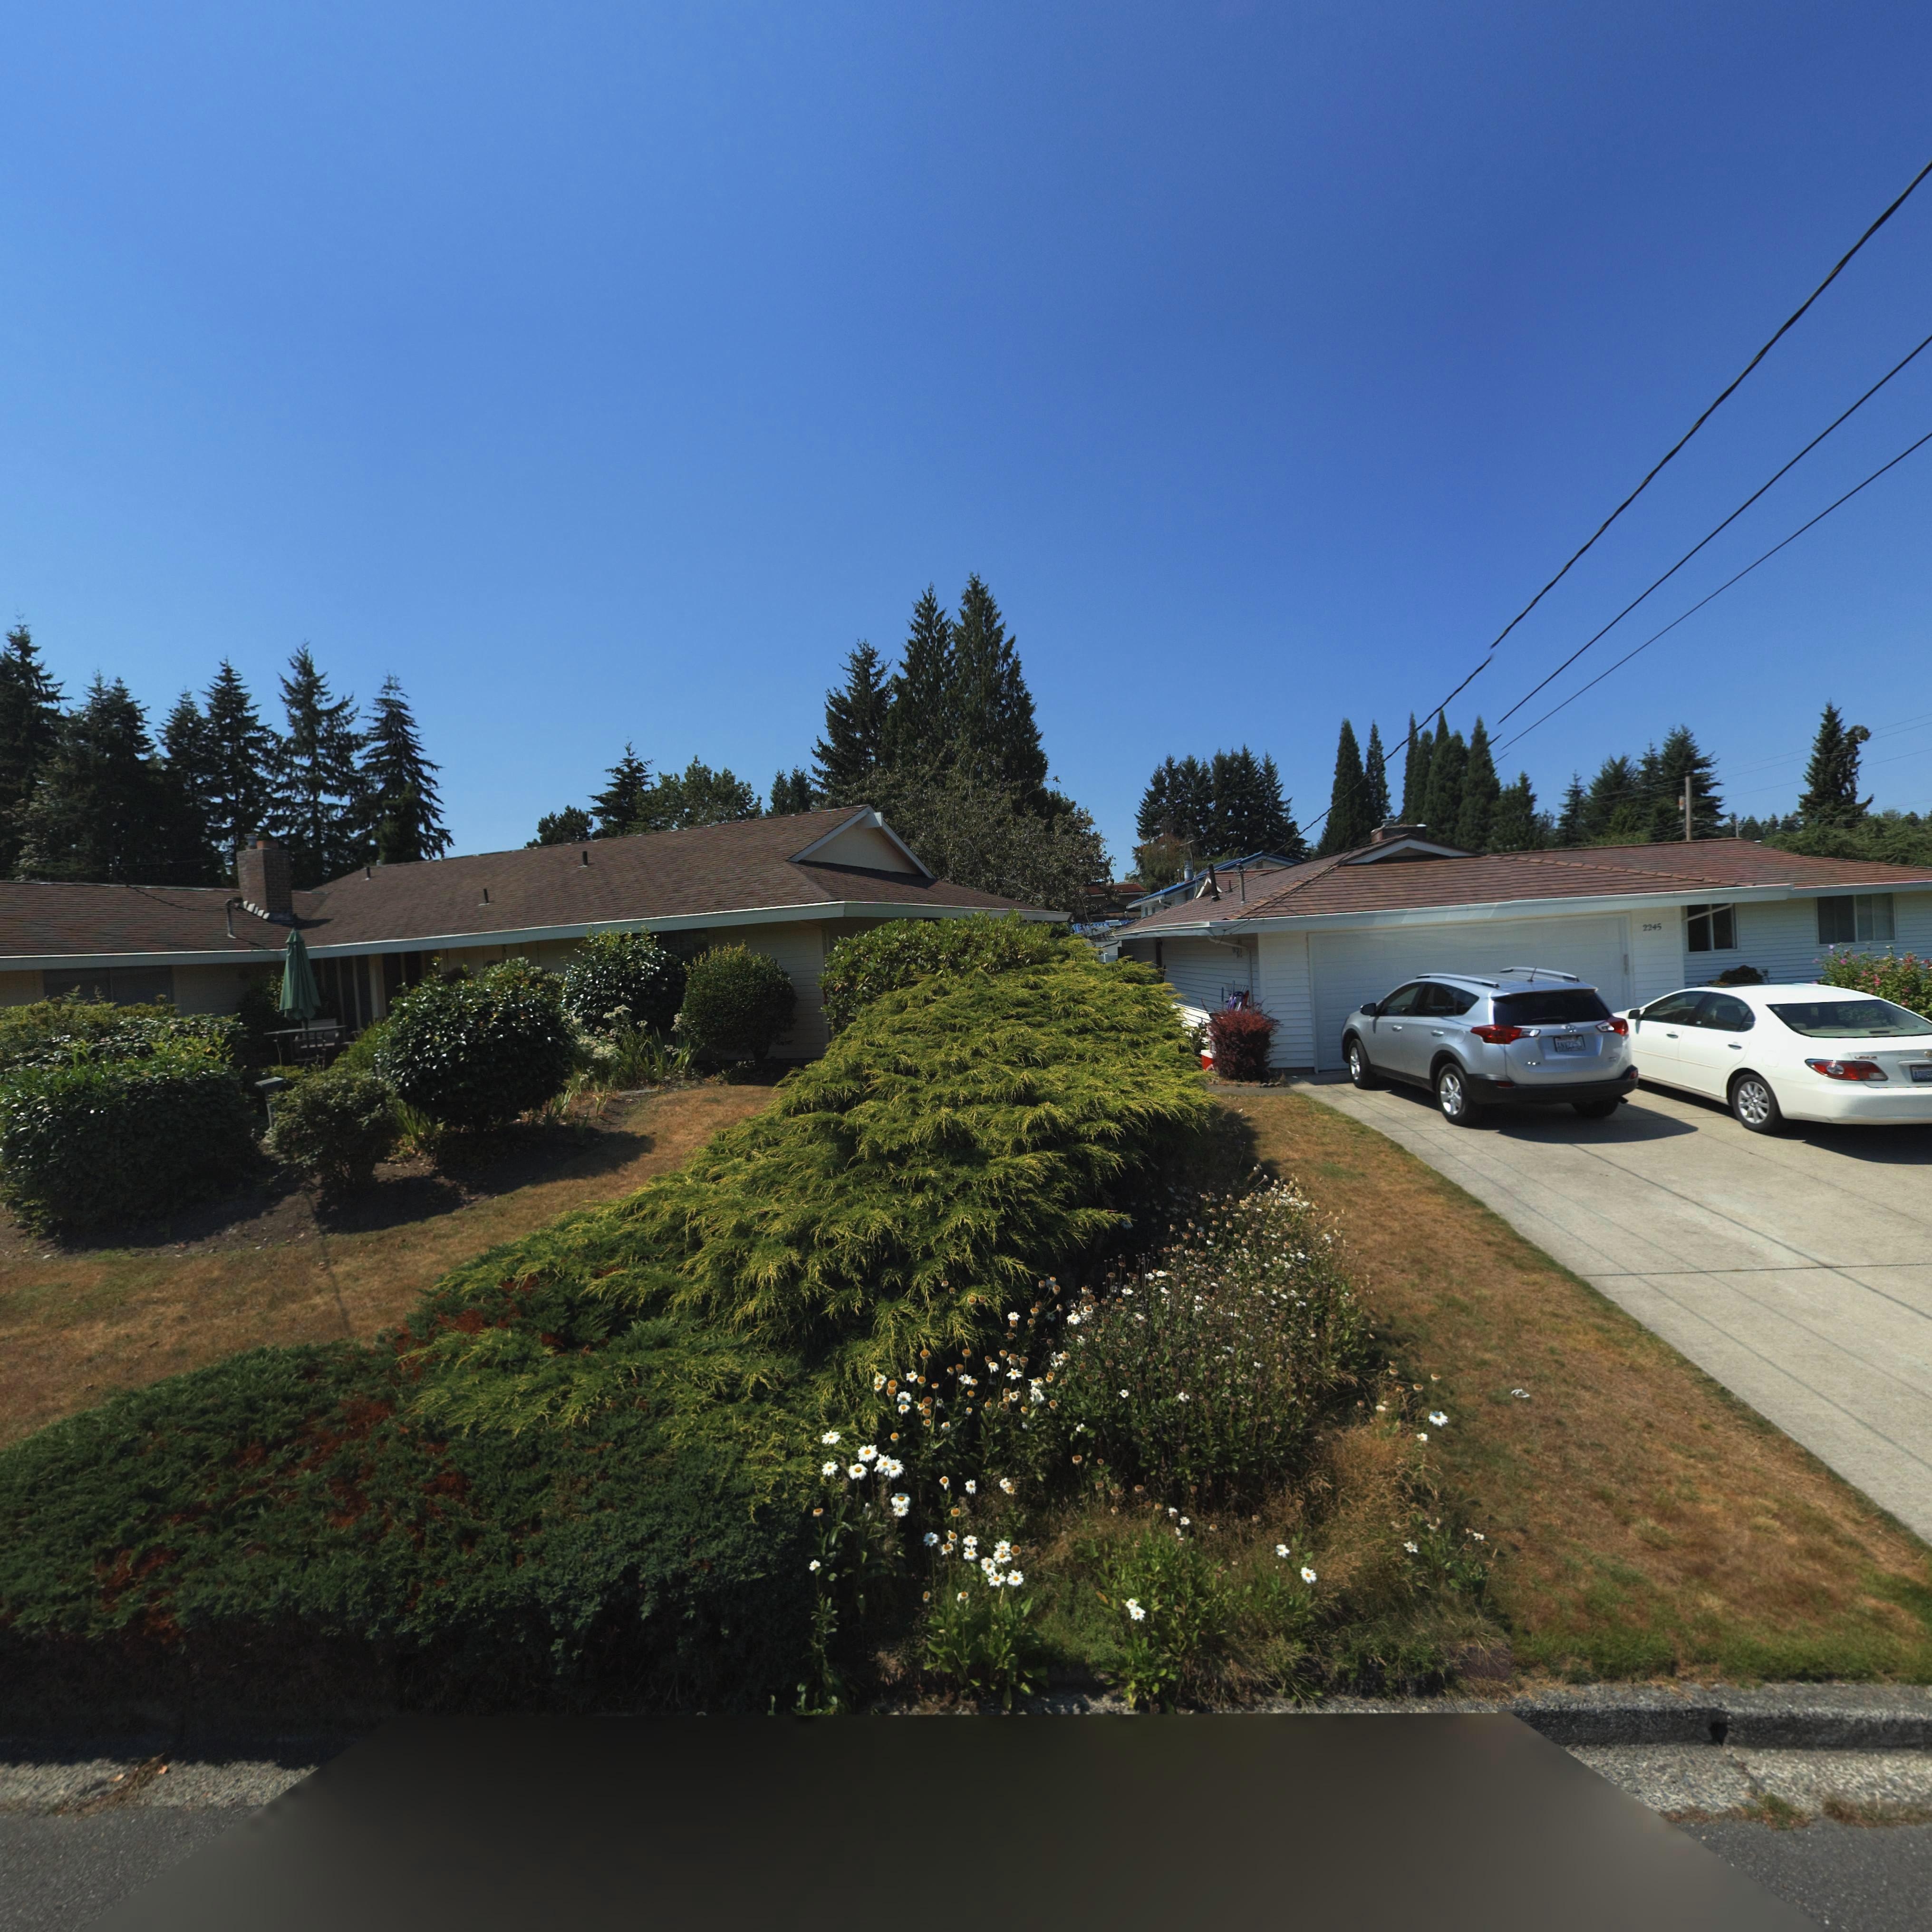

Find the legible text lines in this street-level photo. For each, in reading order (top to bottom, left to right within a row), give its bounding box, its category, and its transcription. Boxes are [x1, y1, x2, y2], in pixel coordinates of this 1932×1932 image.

[1642, 923, 1662, 931] StreetNumber: 2245